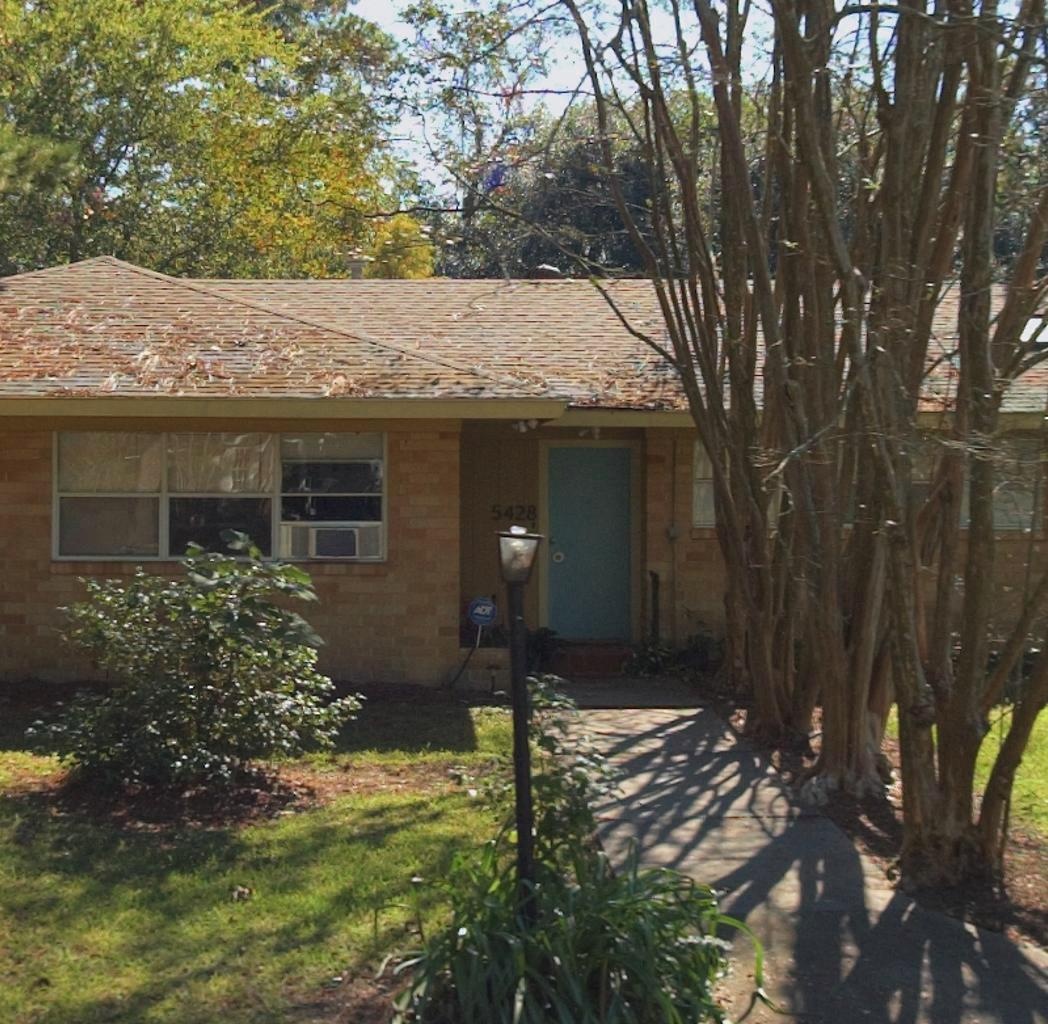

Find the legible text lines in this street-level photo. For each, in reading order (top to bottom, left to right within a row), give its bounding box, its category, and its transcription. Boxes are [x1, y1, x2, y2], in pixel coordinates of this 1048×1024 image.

[490, 502, 537, 522] StreetNumber: 5428
[471, 604, 494, 617] None: ADT